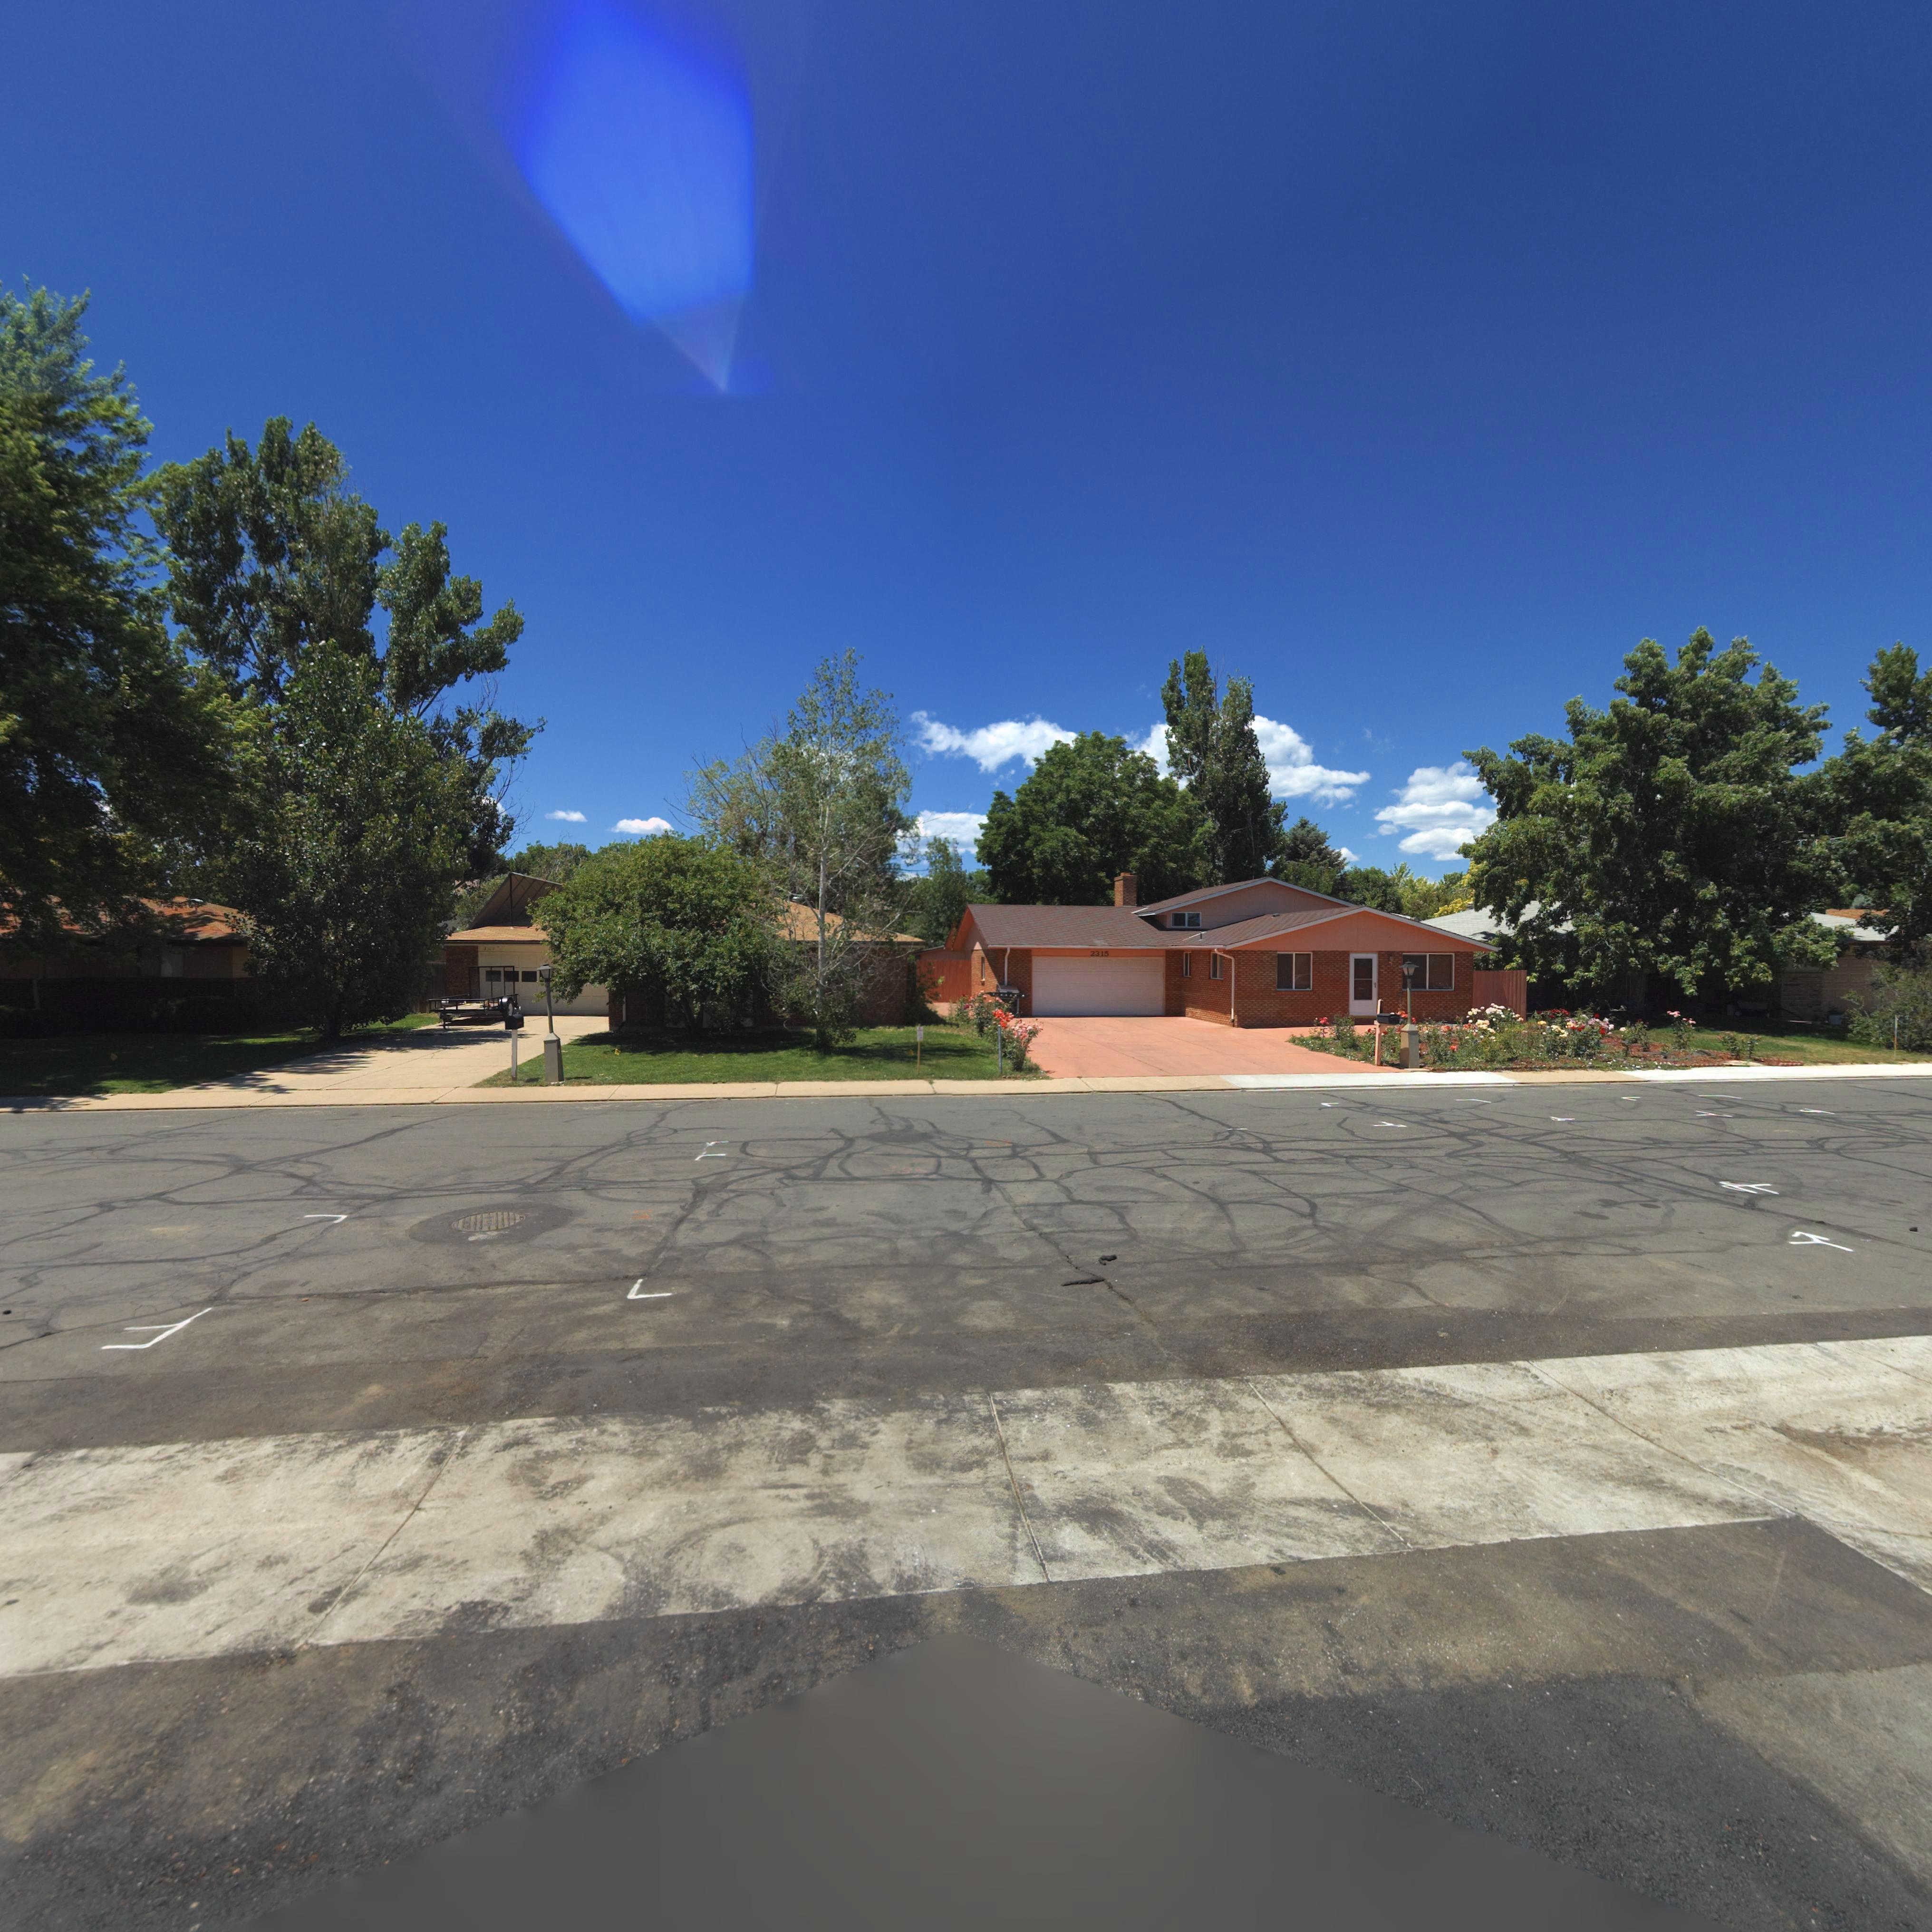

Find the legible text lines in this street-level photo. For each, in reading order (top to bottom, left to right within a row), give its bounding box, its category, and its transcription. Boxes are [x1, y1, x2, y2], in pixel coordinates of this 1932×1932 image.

[483, 946, 494, 950] StreetNumber: **61
[1090, 950, 1109, 956] StreetNumber: 2315